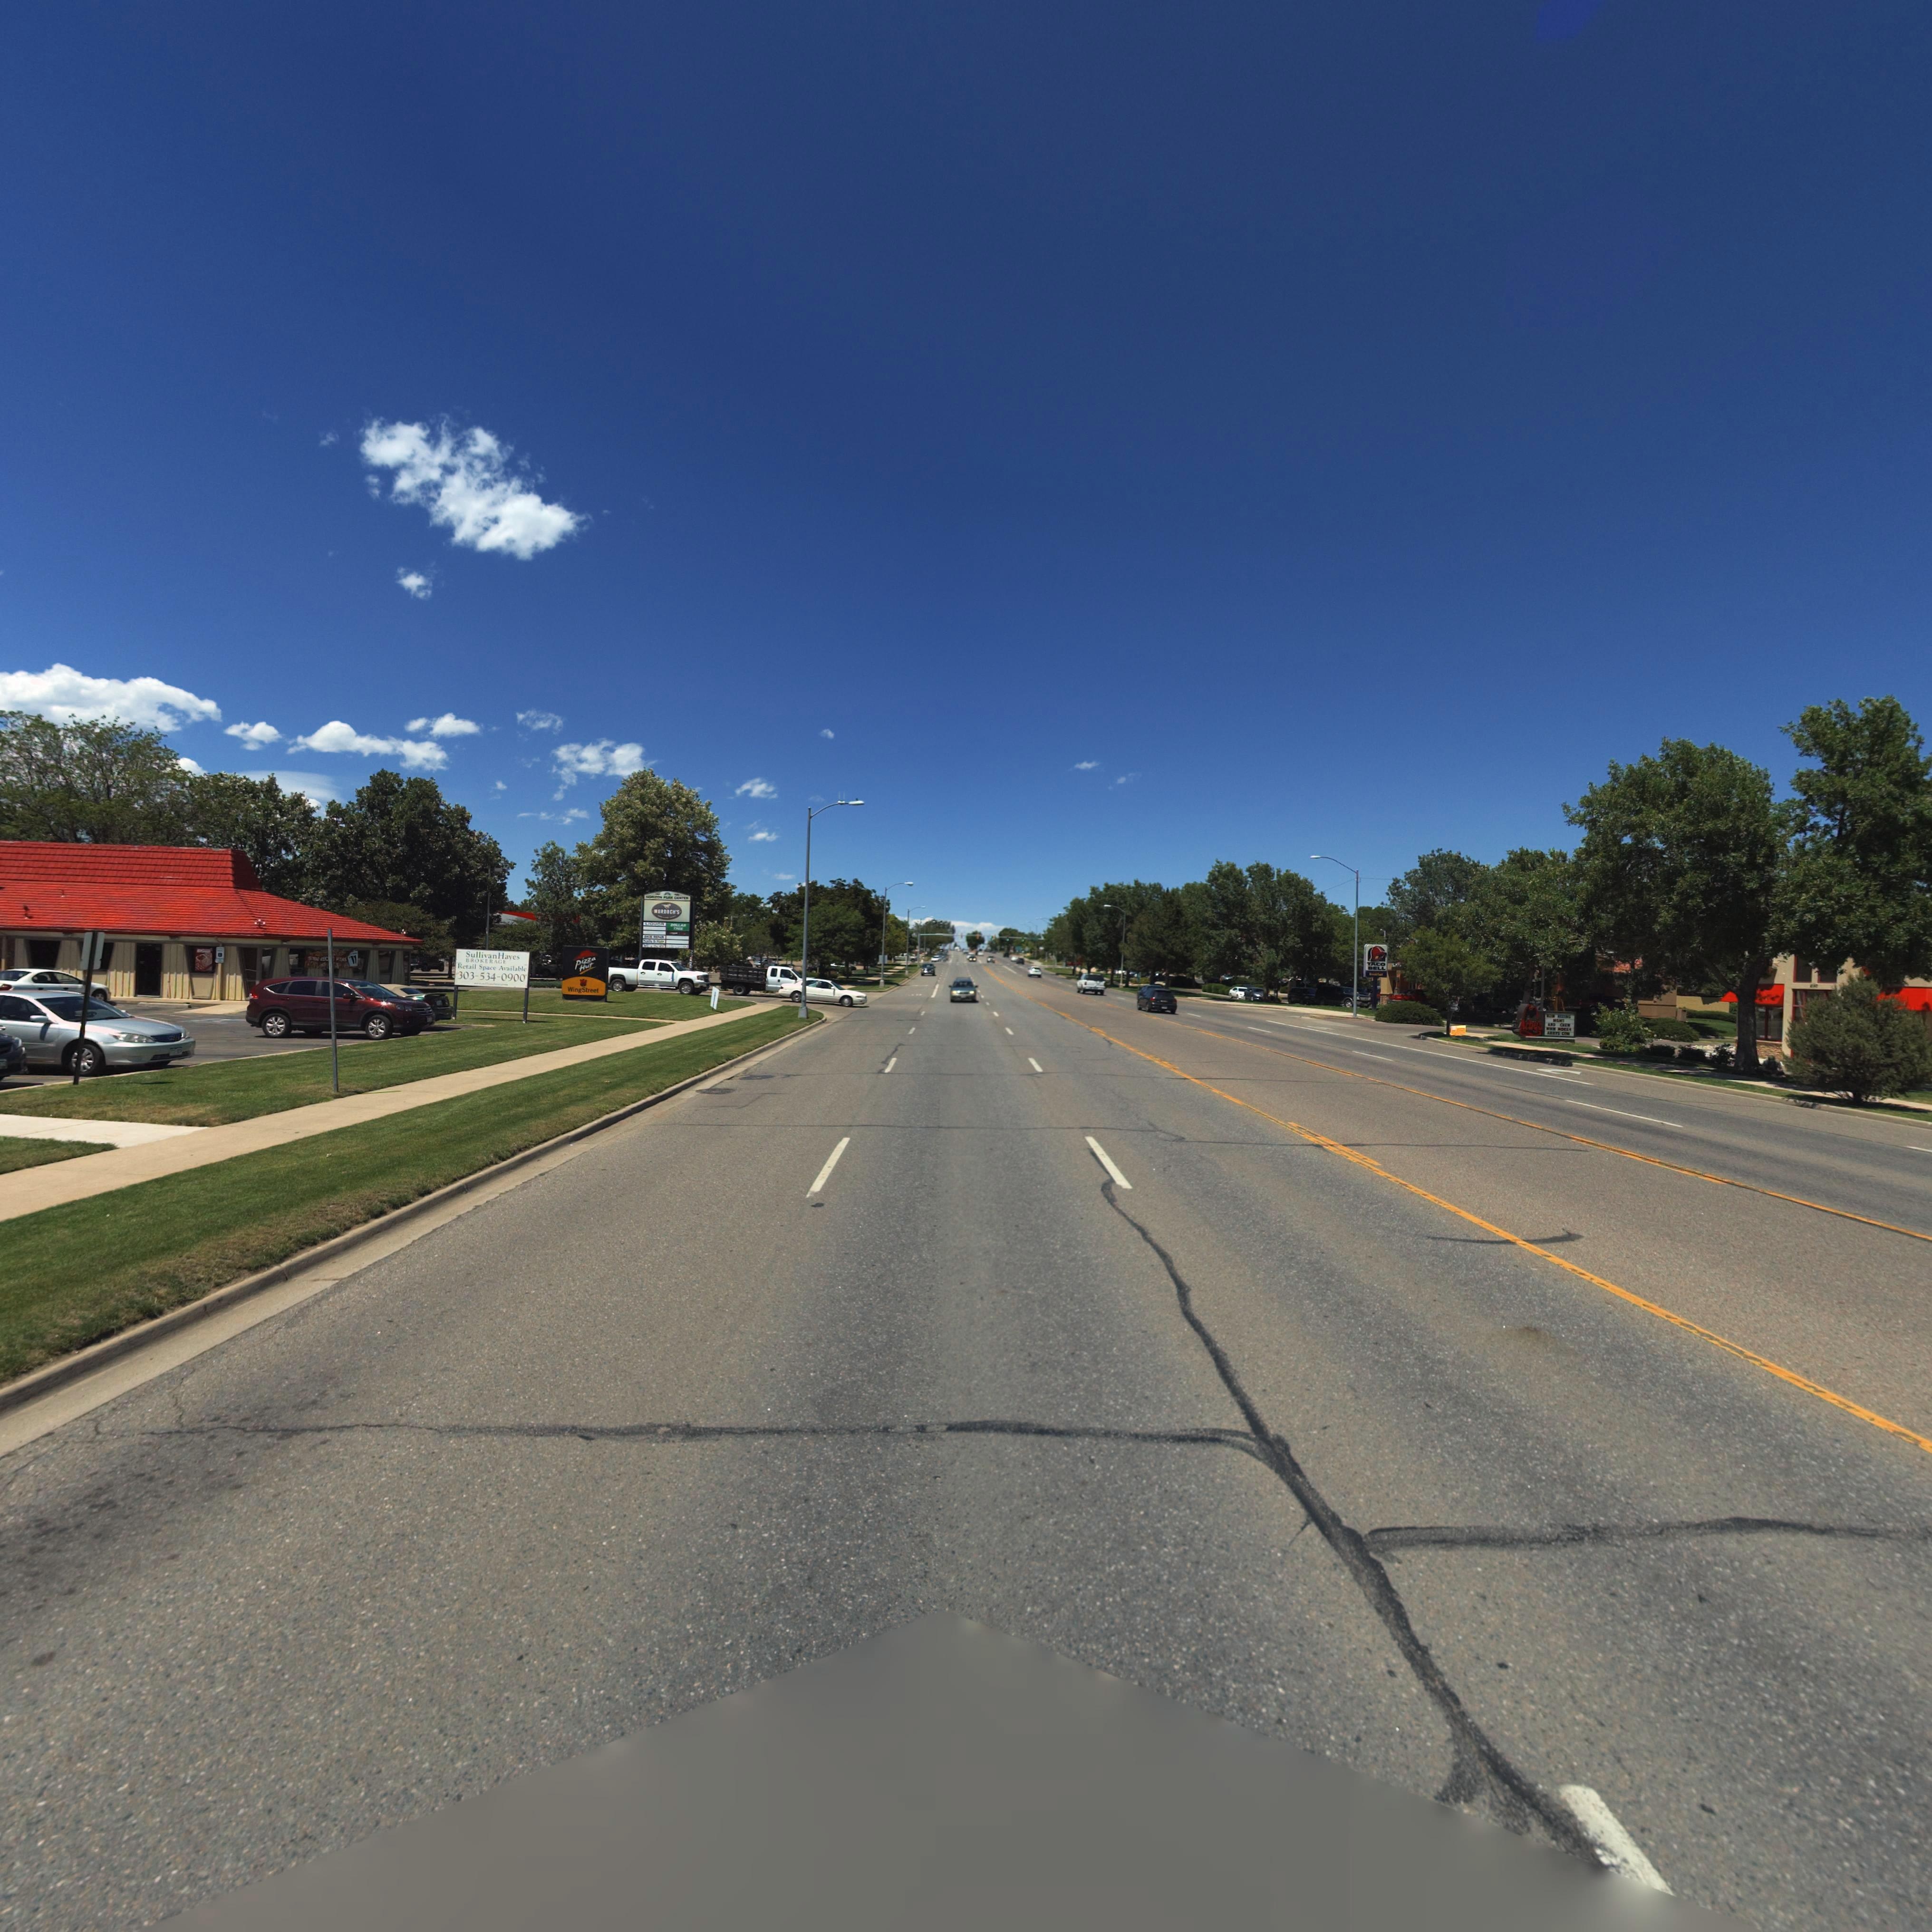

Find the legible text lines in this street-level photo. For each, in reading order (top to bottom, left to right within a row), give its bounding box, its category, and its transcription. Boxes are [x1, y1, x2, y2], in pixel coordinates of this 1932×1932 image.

[654, 909, 680, 914] BusinessName: **R**CH*S
[670, 923, 686, 927] BusinessName: DOLLA*
[673, 927, 683, 930] BusinessName: T***
[689, 949, 693, 968] StreetNumber: *255
[574, 956, 596, 970] BusinessName: Pizza
[579, 962, 595, 972] BusinessName: Hut
[1366, 961, 1385, 966] BusinessName: TACO
[1368, 966, 1385, 970] BusinessName: B*LL
[567, 986, 599, 994] BusinessName: WingStre*t
[1519, 1019, 1543, 1033] BusinessName: Arbys